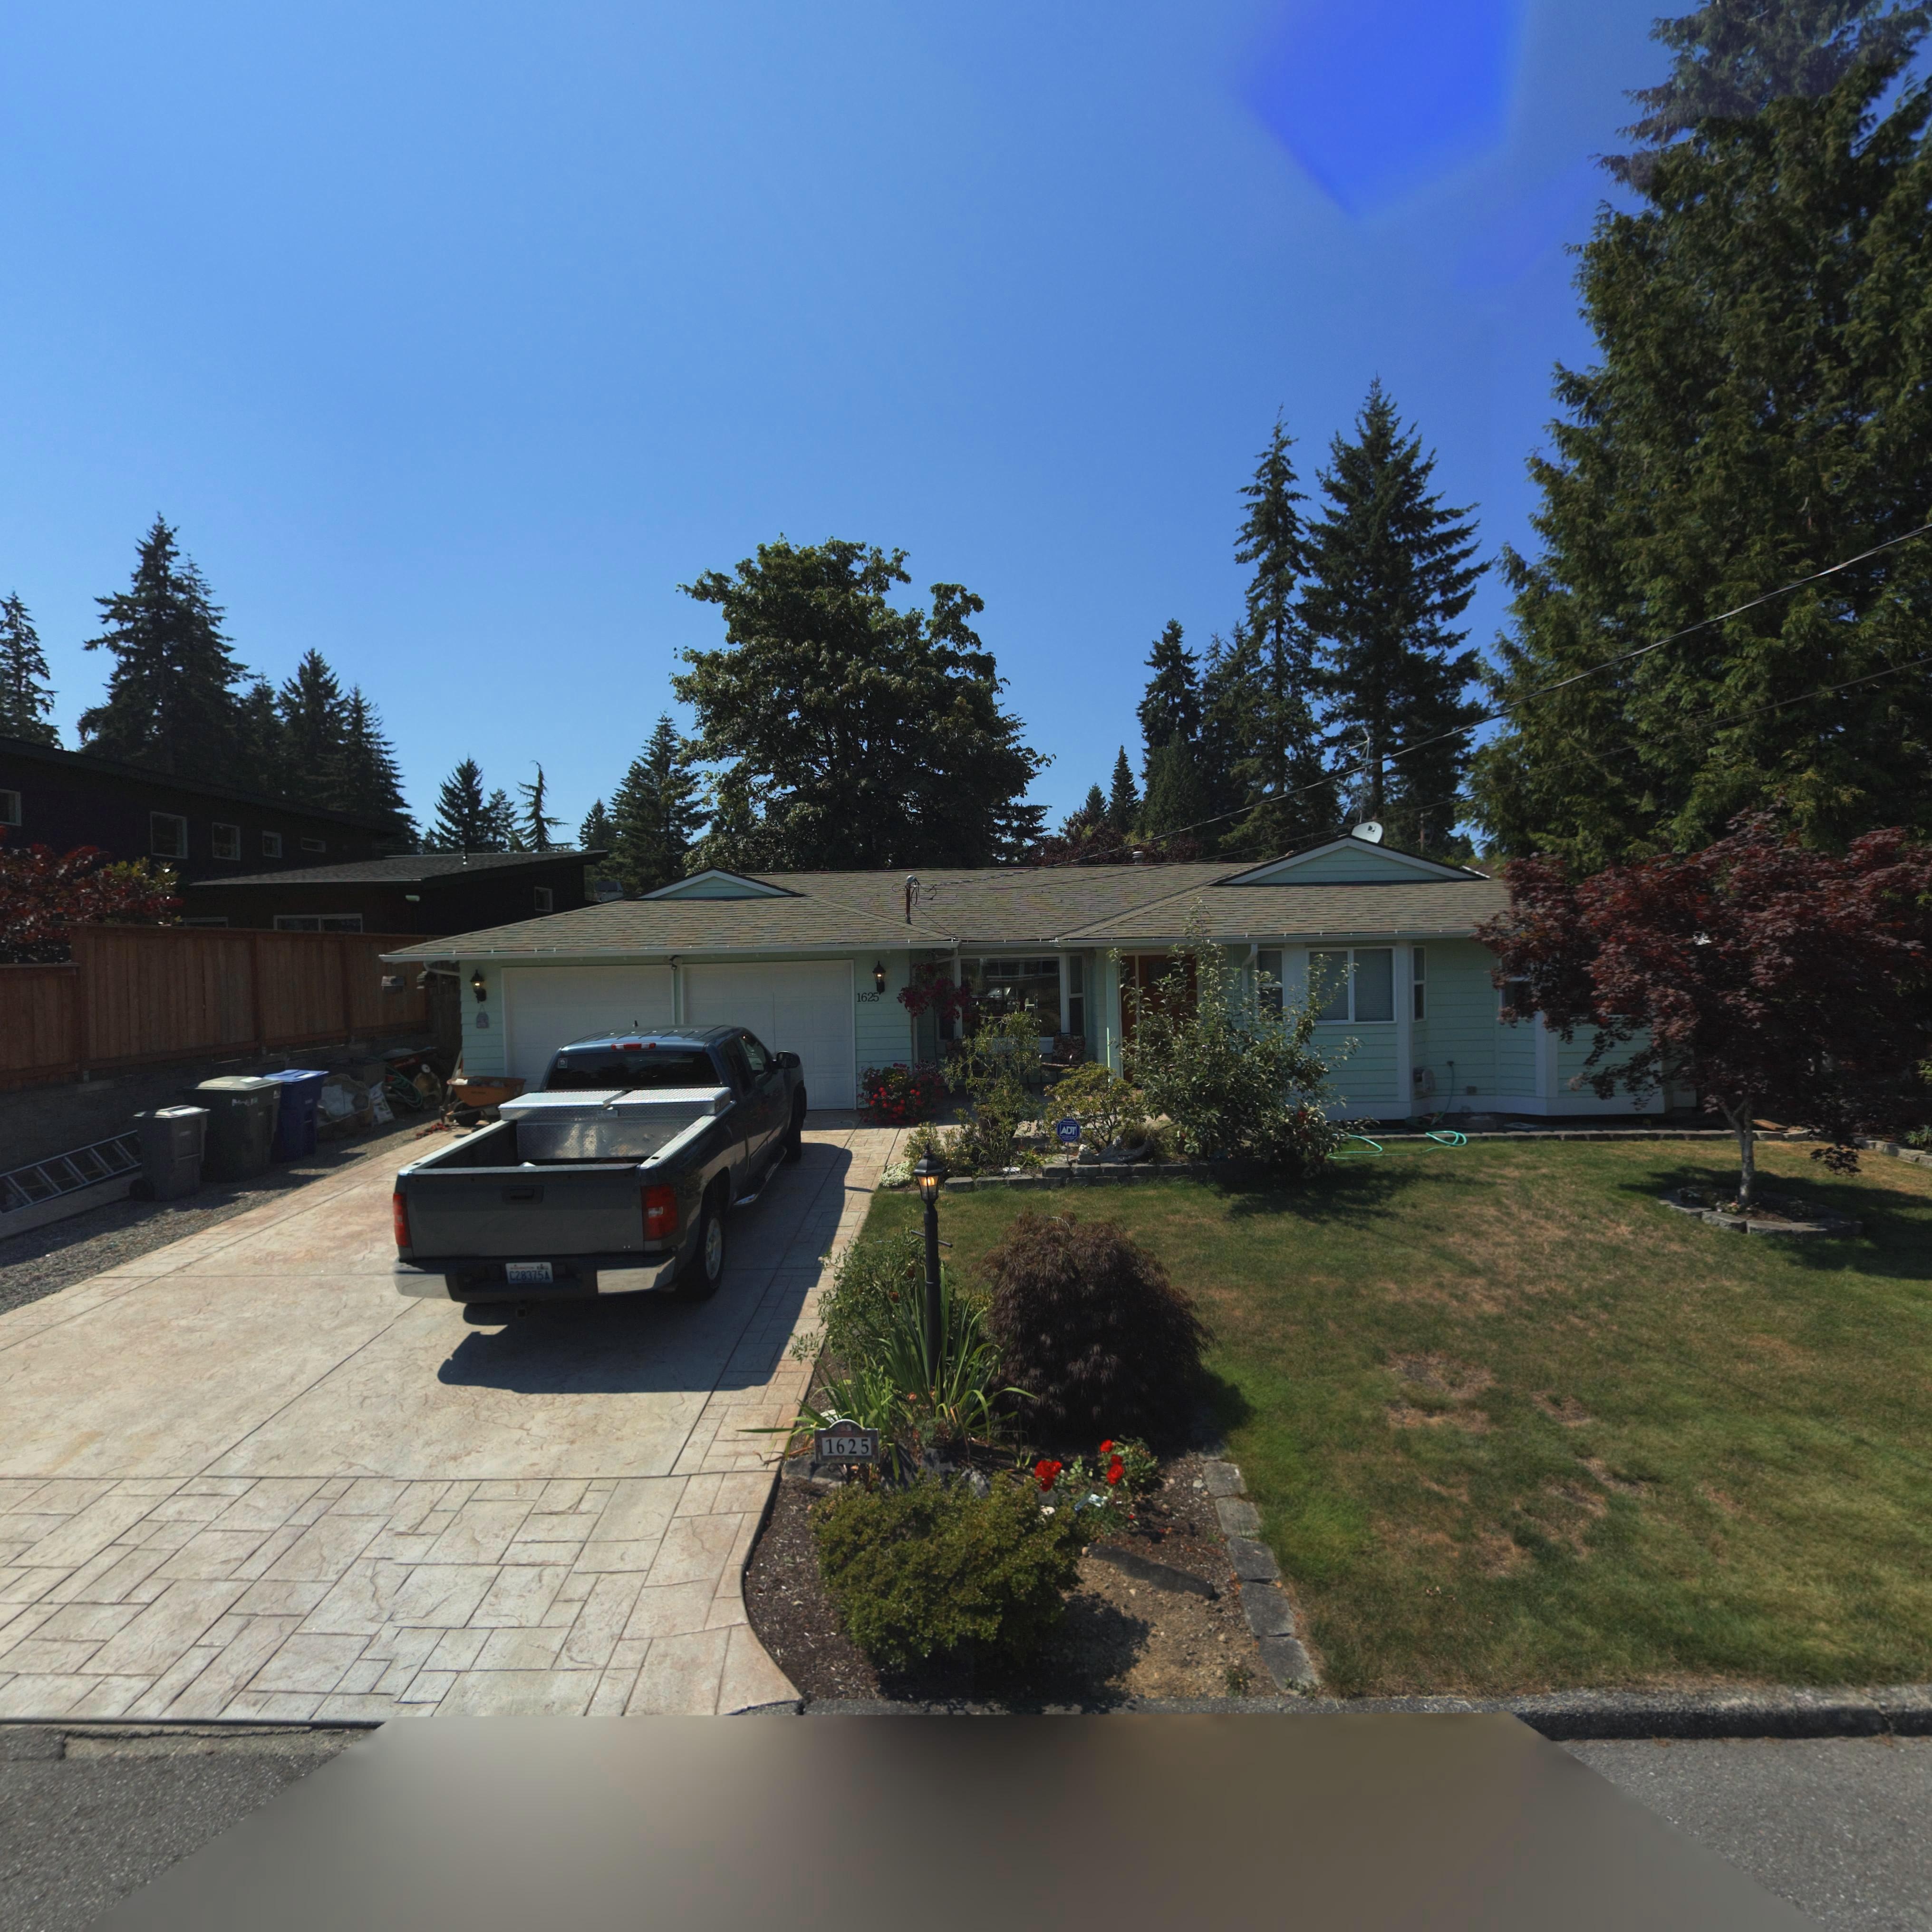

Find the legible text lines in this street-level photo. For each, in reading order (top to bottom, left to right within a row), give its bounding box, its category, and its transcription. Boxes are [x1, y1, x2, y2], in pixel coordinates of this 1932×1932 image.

[856, 992, 879, 1003] StreetNumber: 1625
[826, 1439, 869, 1454] StreetNumber: 1625